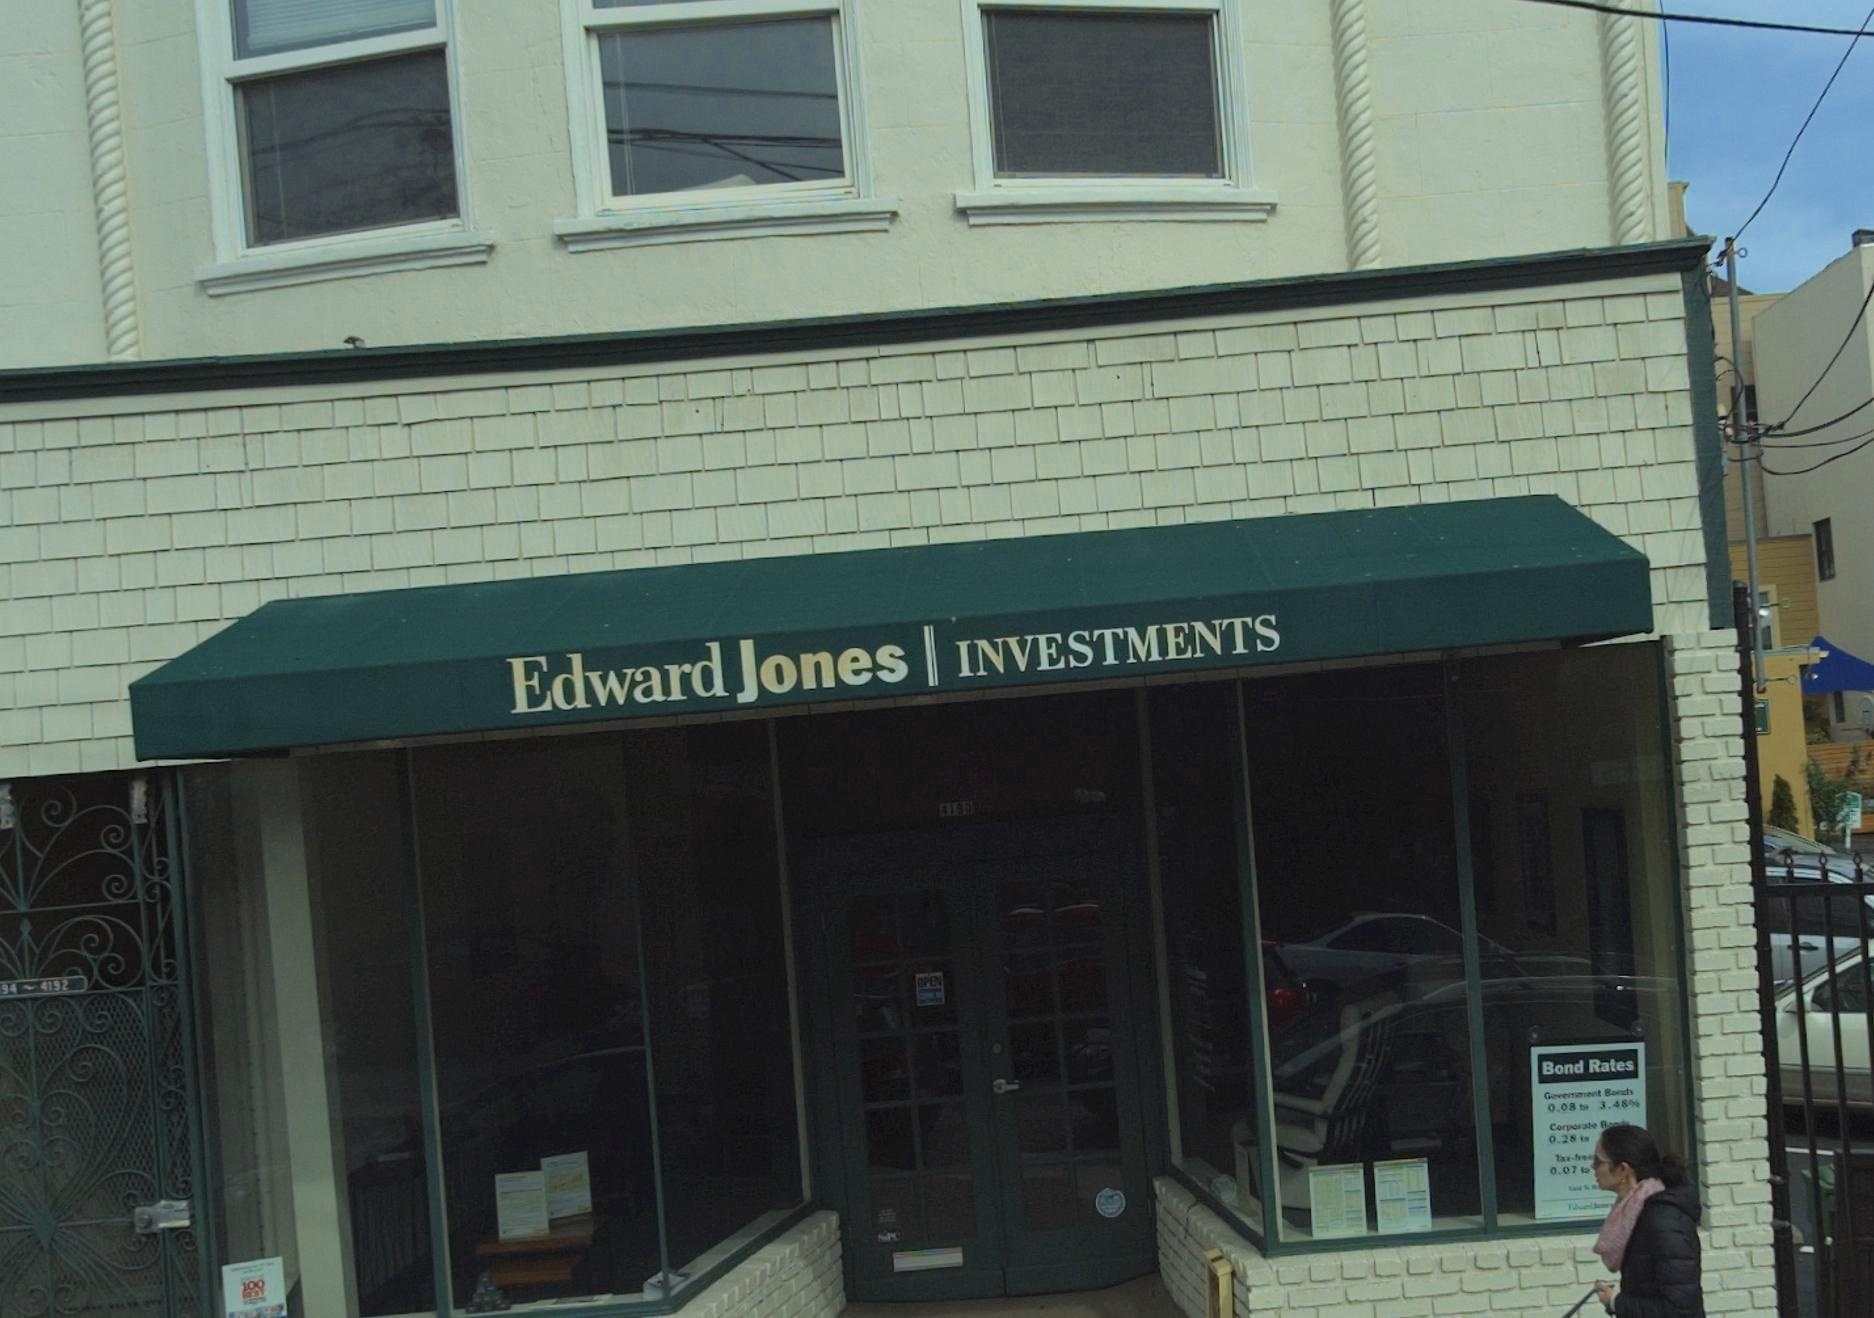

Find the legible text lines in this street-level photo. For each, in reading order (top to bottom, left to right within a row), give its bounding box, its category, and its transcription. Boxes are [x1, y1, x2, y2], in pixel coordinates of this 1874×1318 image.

[498, 608, 1283, 724] BusinessName: Edward Jones * INVESTMENTS
[939, 801, 972, 817] StreetNumber: 4190
[1, 978, 71, 996] StreetNumberRange: 94-4192
[916, 974, 943, 991] None: OPEN
[1541, 1057, 1635, 1076] None: Bond Rates
[1543, 1087, 1637, 1101] None: Gov****ent B***ch
[1546, 1097, 1641, 1114] None: 0.08 to 3.48%
[1548, 1119, 1608, 1134] None: Corporate B
[1547, 1133, 1591, 1146] None: 0.28 to
[1553, 1151, 1595, 1164] None: Tax-free
[1549, 1165, 1591, 1177] None: 0.07 to
[241, 1277, 266, 1293] None: 100
[241, 1287, 266, 1300] None: **ST